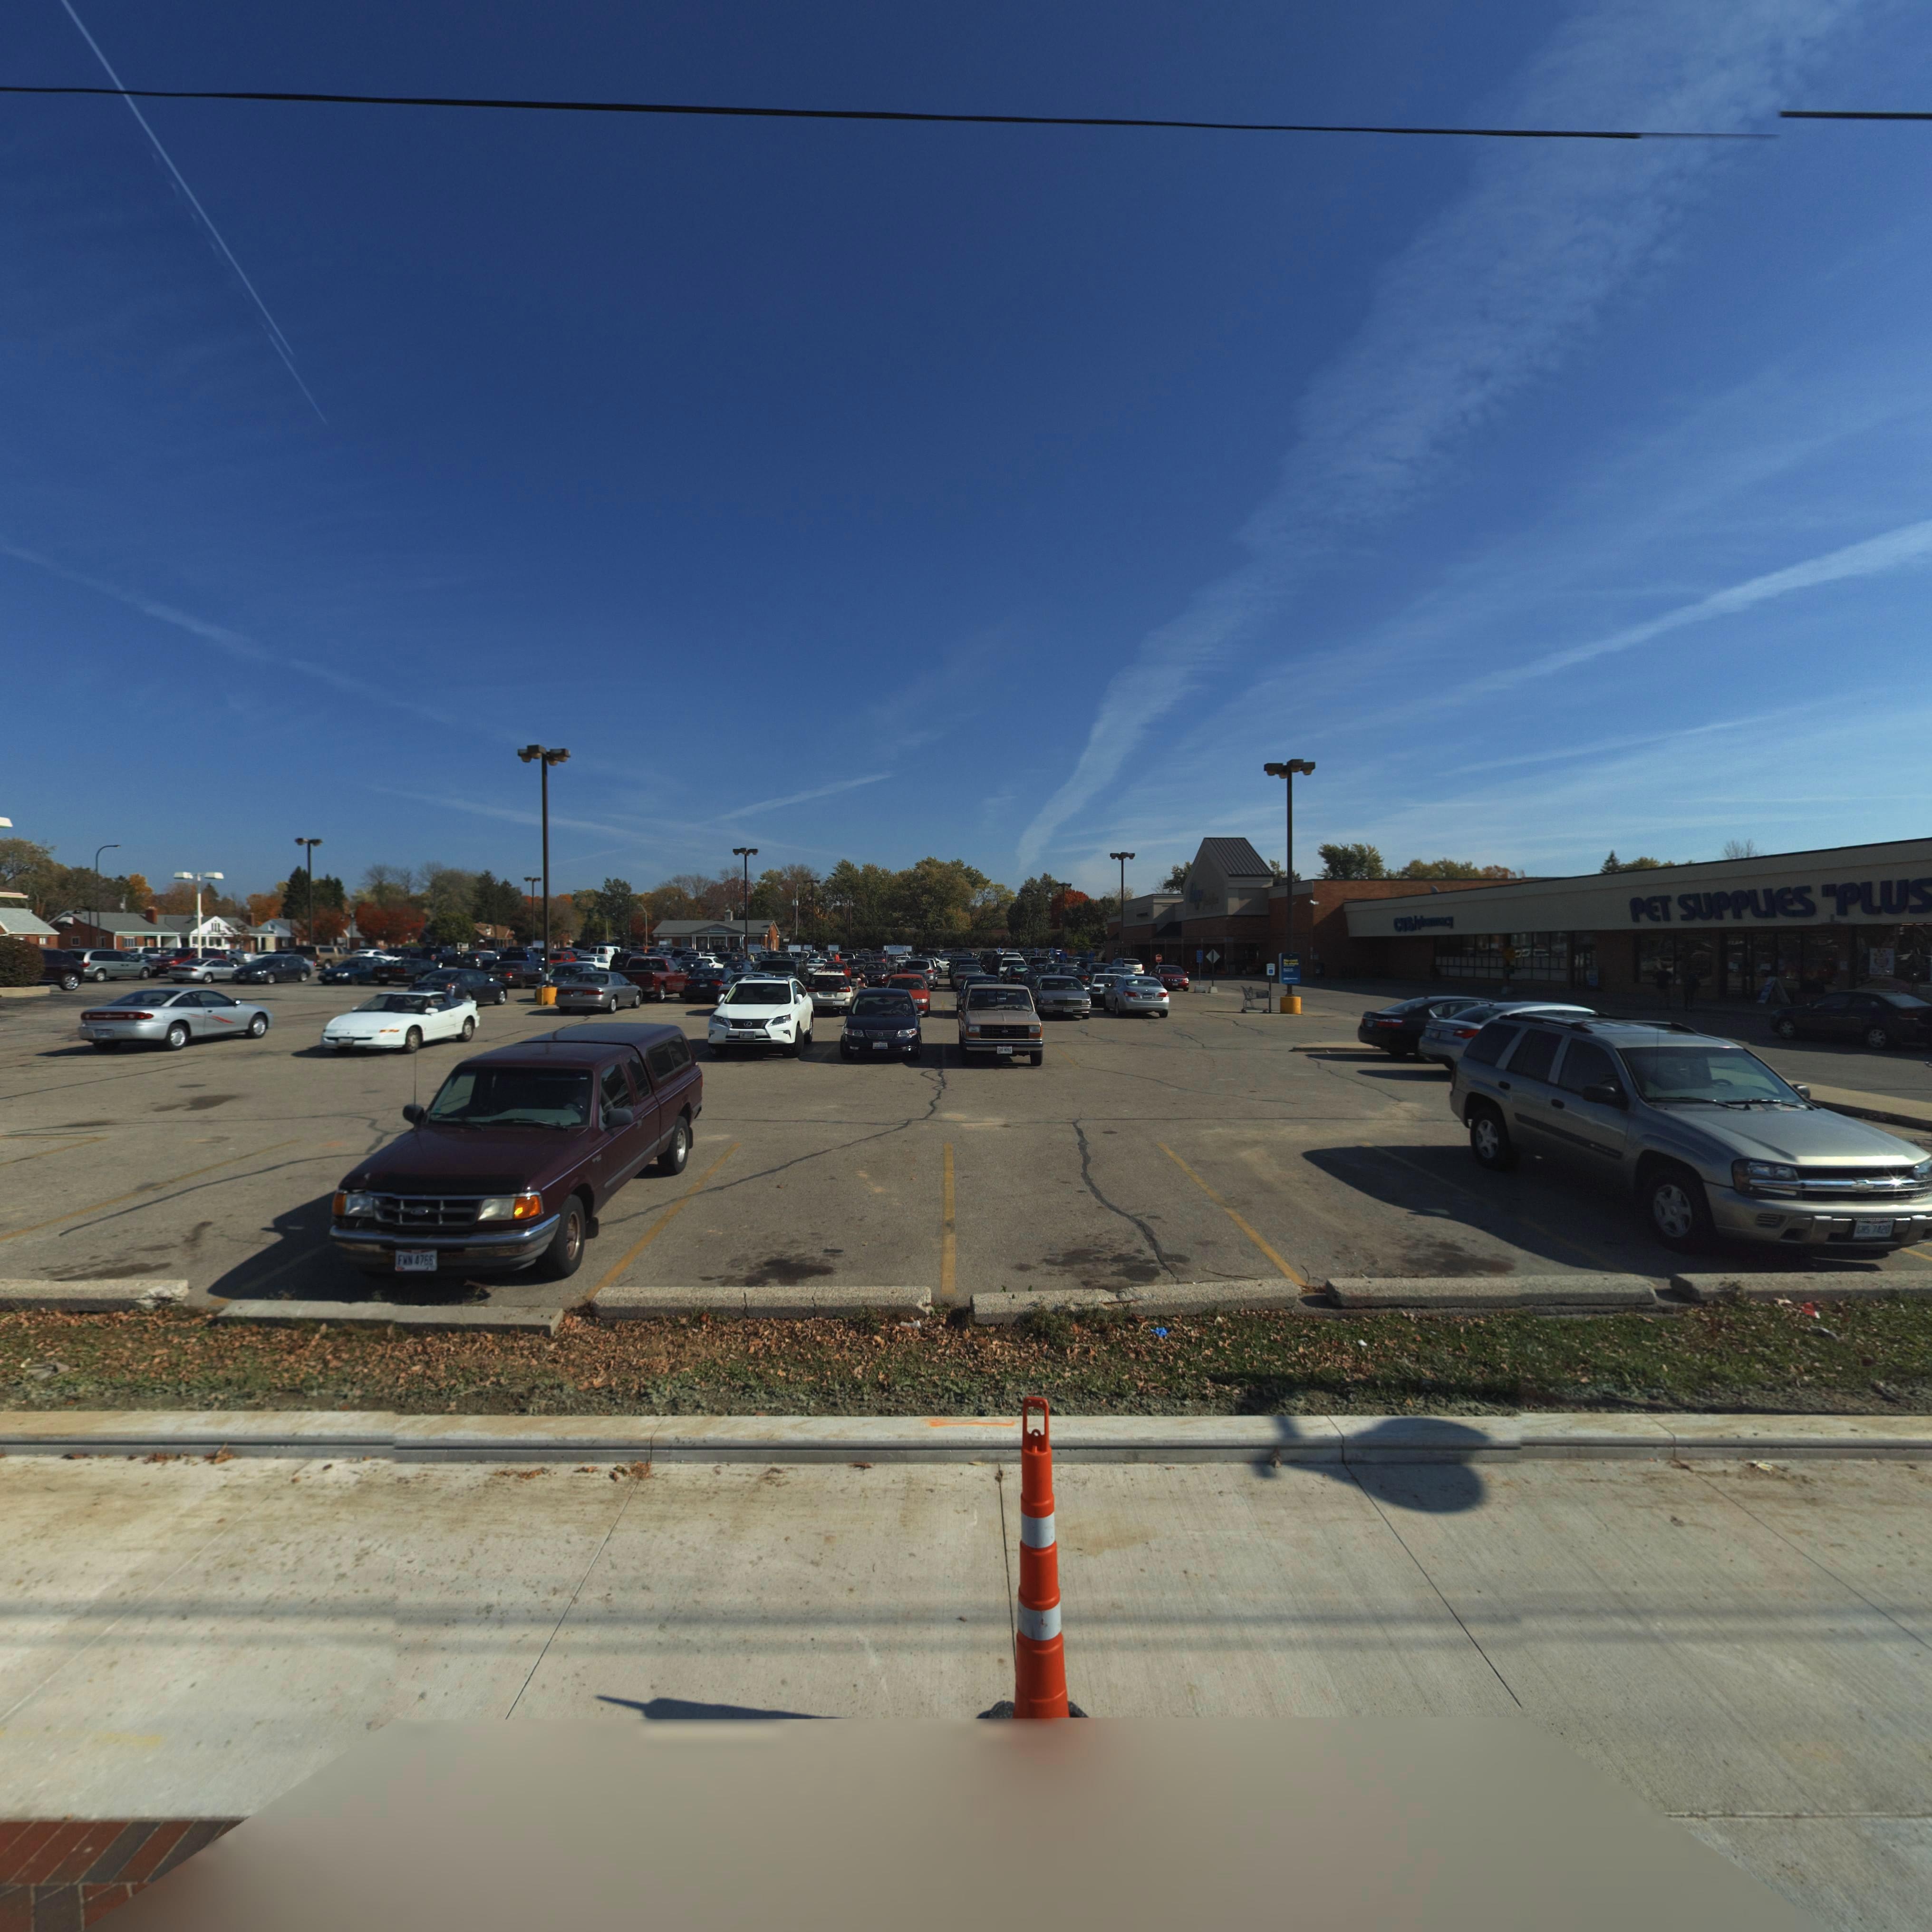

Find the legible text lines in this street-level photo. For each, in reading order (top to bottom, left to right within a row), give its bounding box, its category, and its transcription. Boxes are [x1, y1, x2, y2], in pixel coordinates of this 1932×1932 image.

[1630, 876, 1932, 923] BusinessName: PET SUPPIES "PLUS
[1392, 915, 1455, 932] BusinessName: CVS/pharmacy
[1855, 1224, 1892, 1234] None: GHS*7420
[397, 1254, 434, 1266] None: FWN*476*